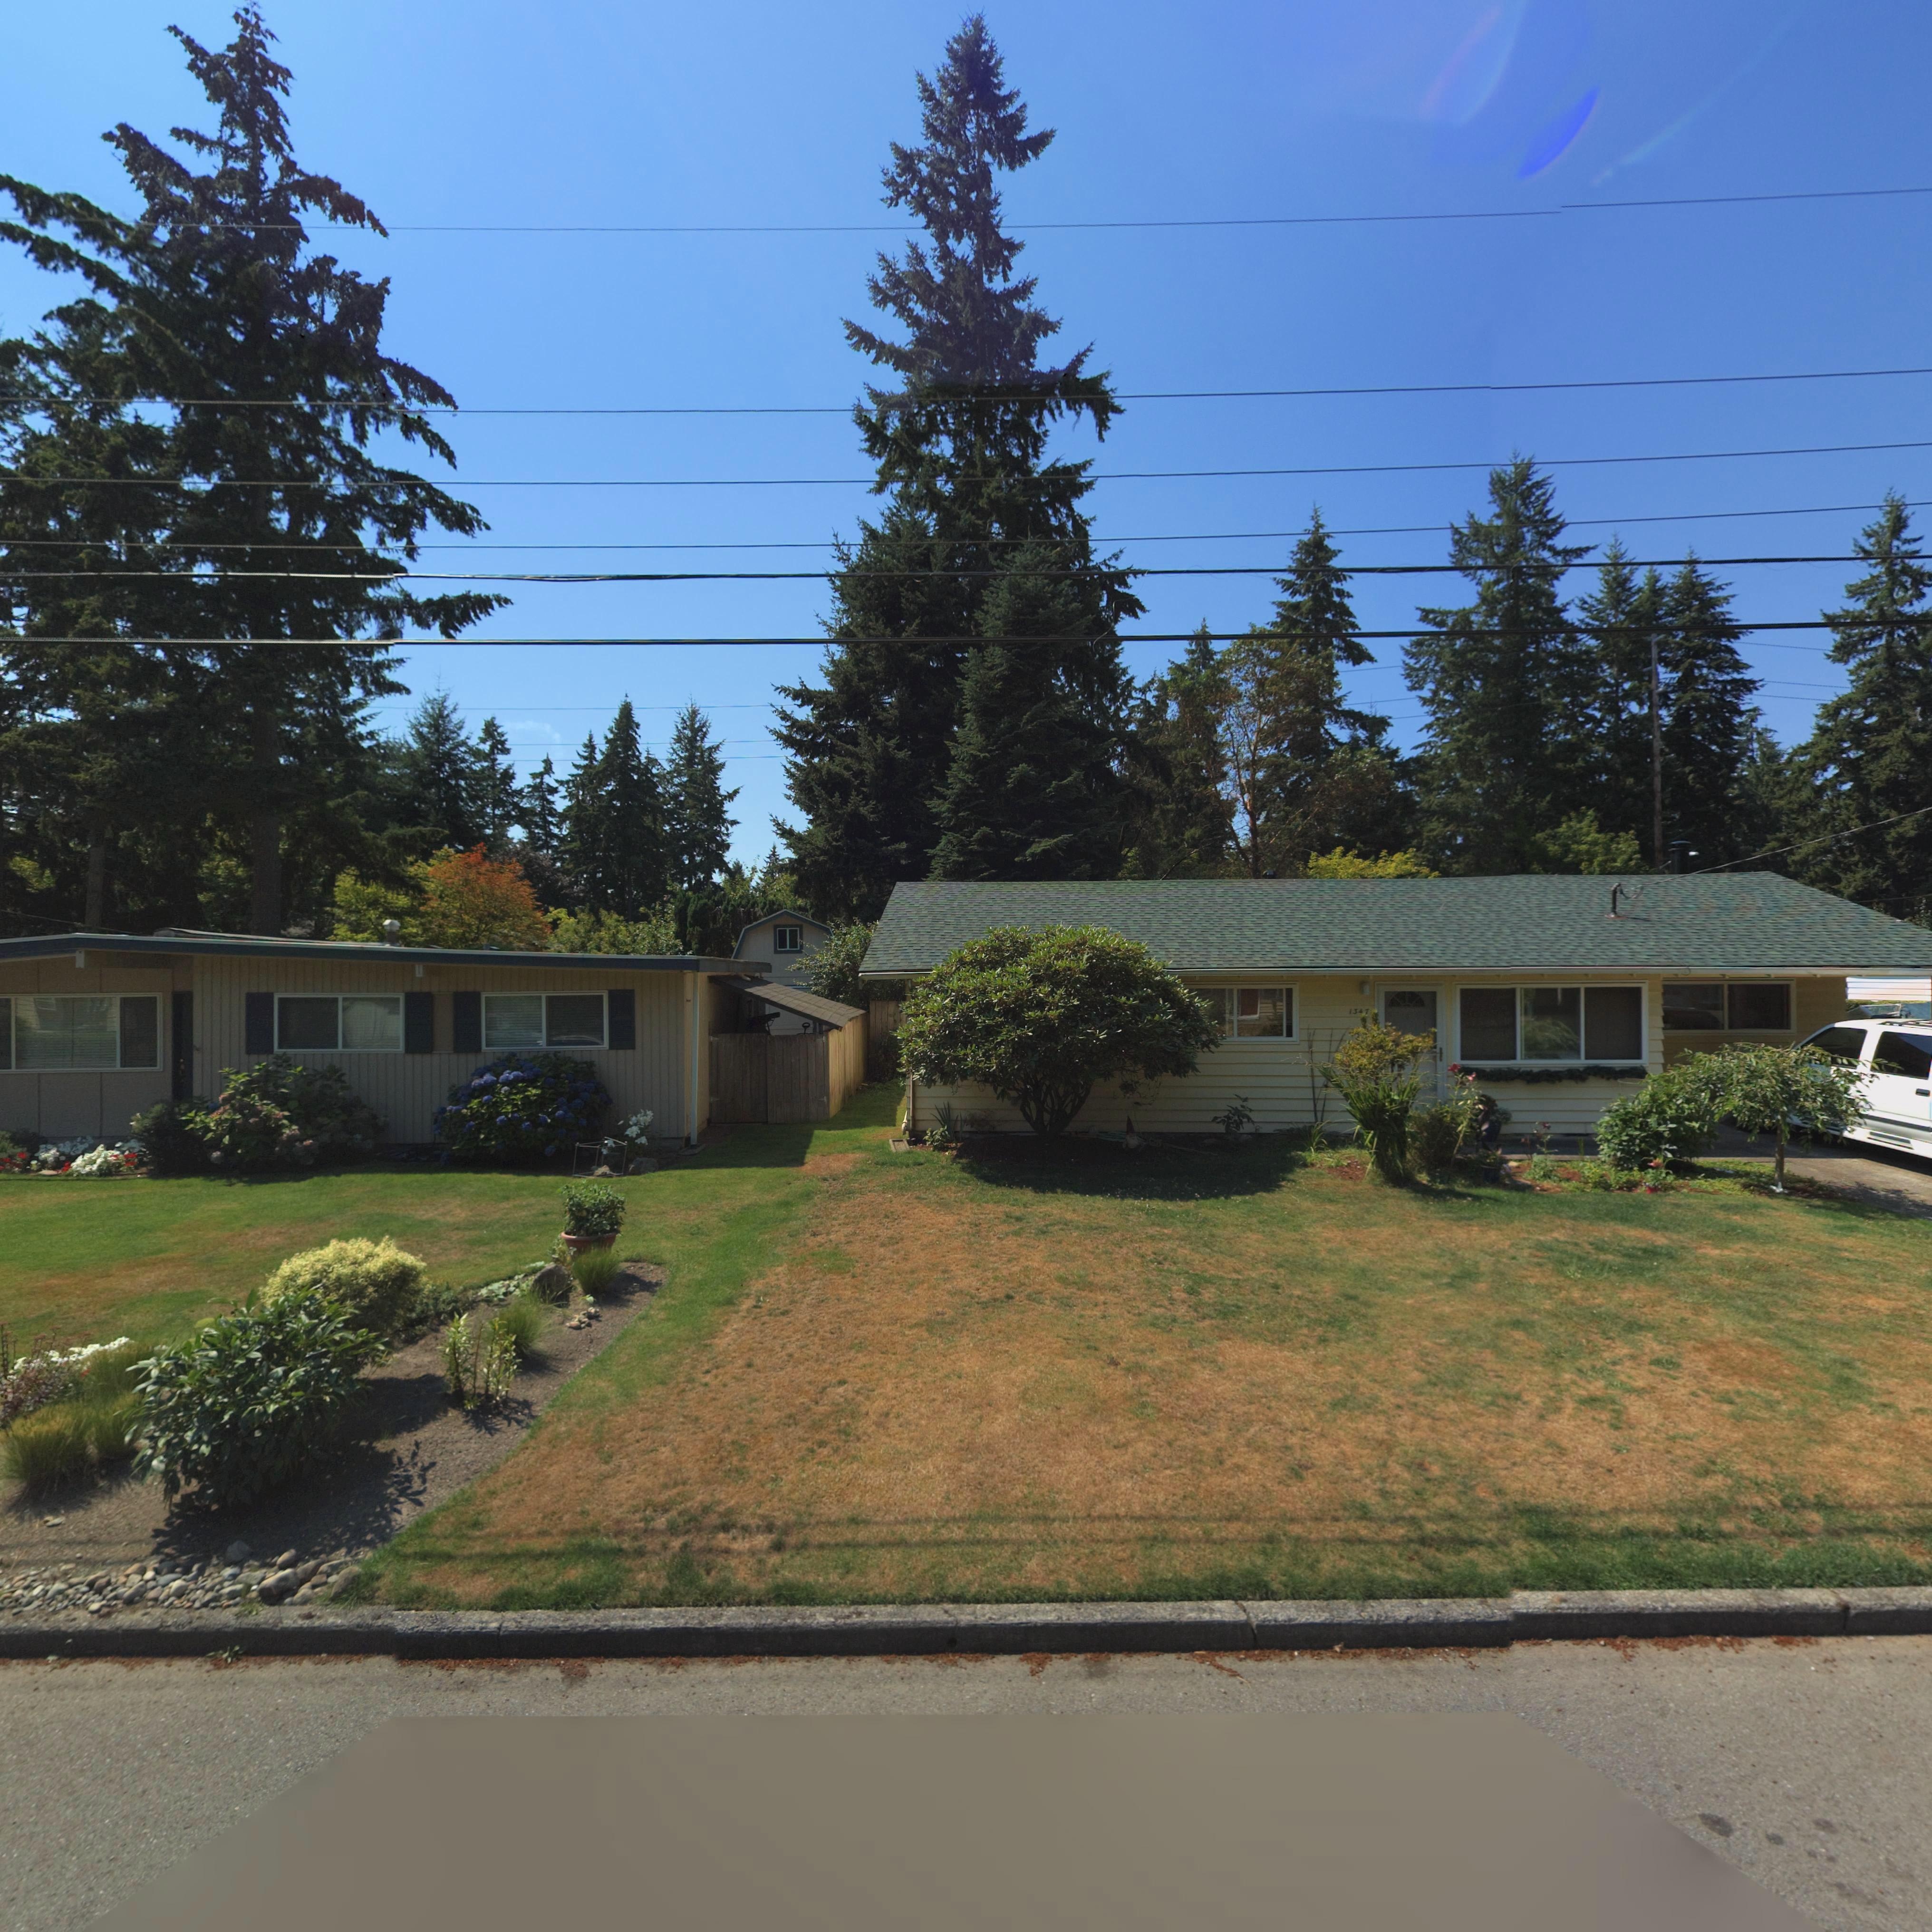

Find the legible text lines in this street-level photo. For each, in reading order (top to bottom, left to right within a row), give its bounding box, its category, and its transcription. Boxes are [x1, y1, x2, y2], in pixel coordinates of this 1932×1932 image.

[1349, 1007, 1370, 1014] StreetNumber: 13*7